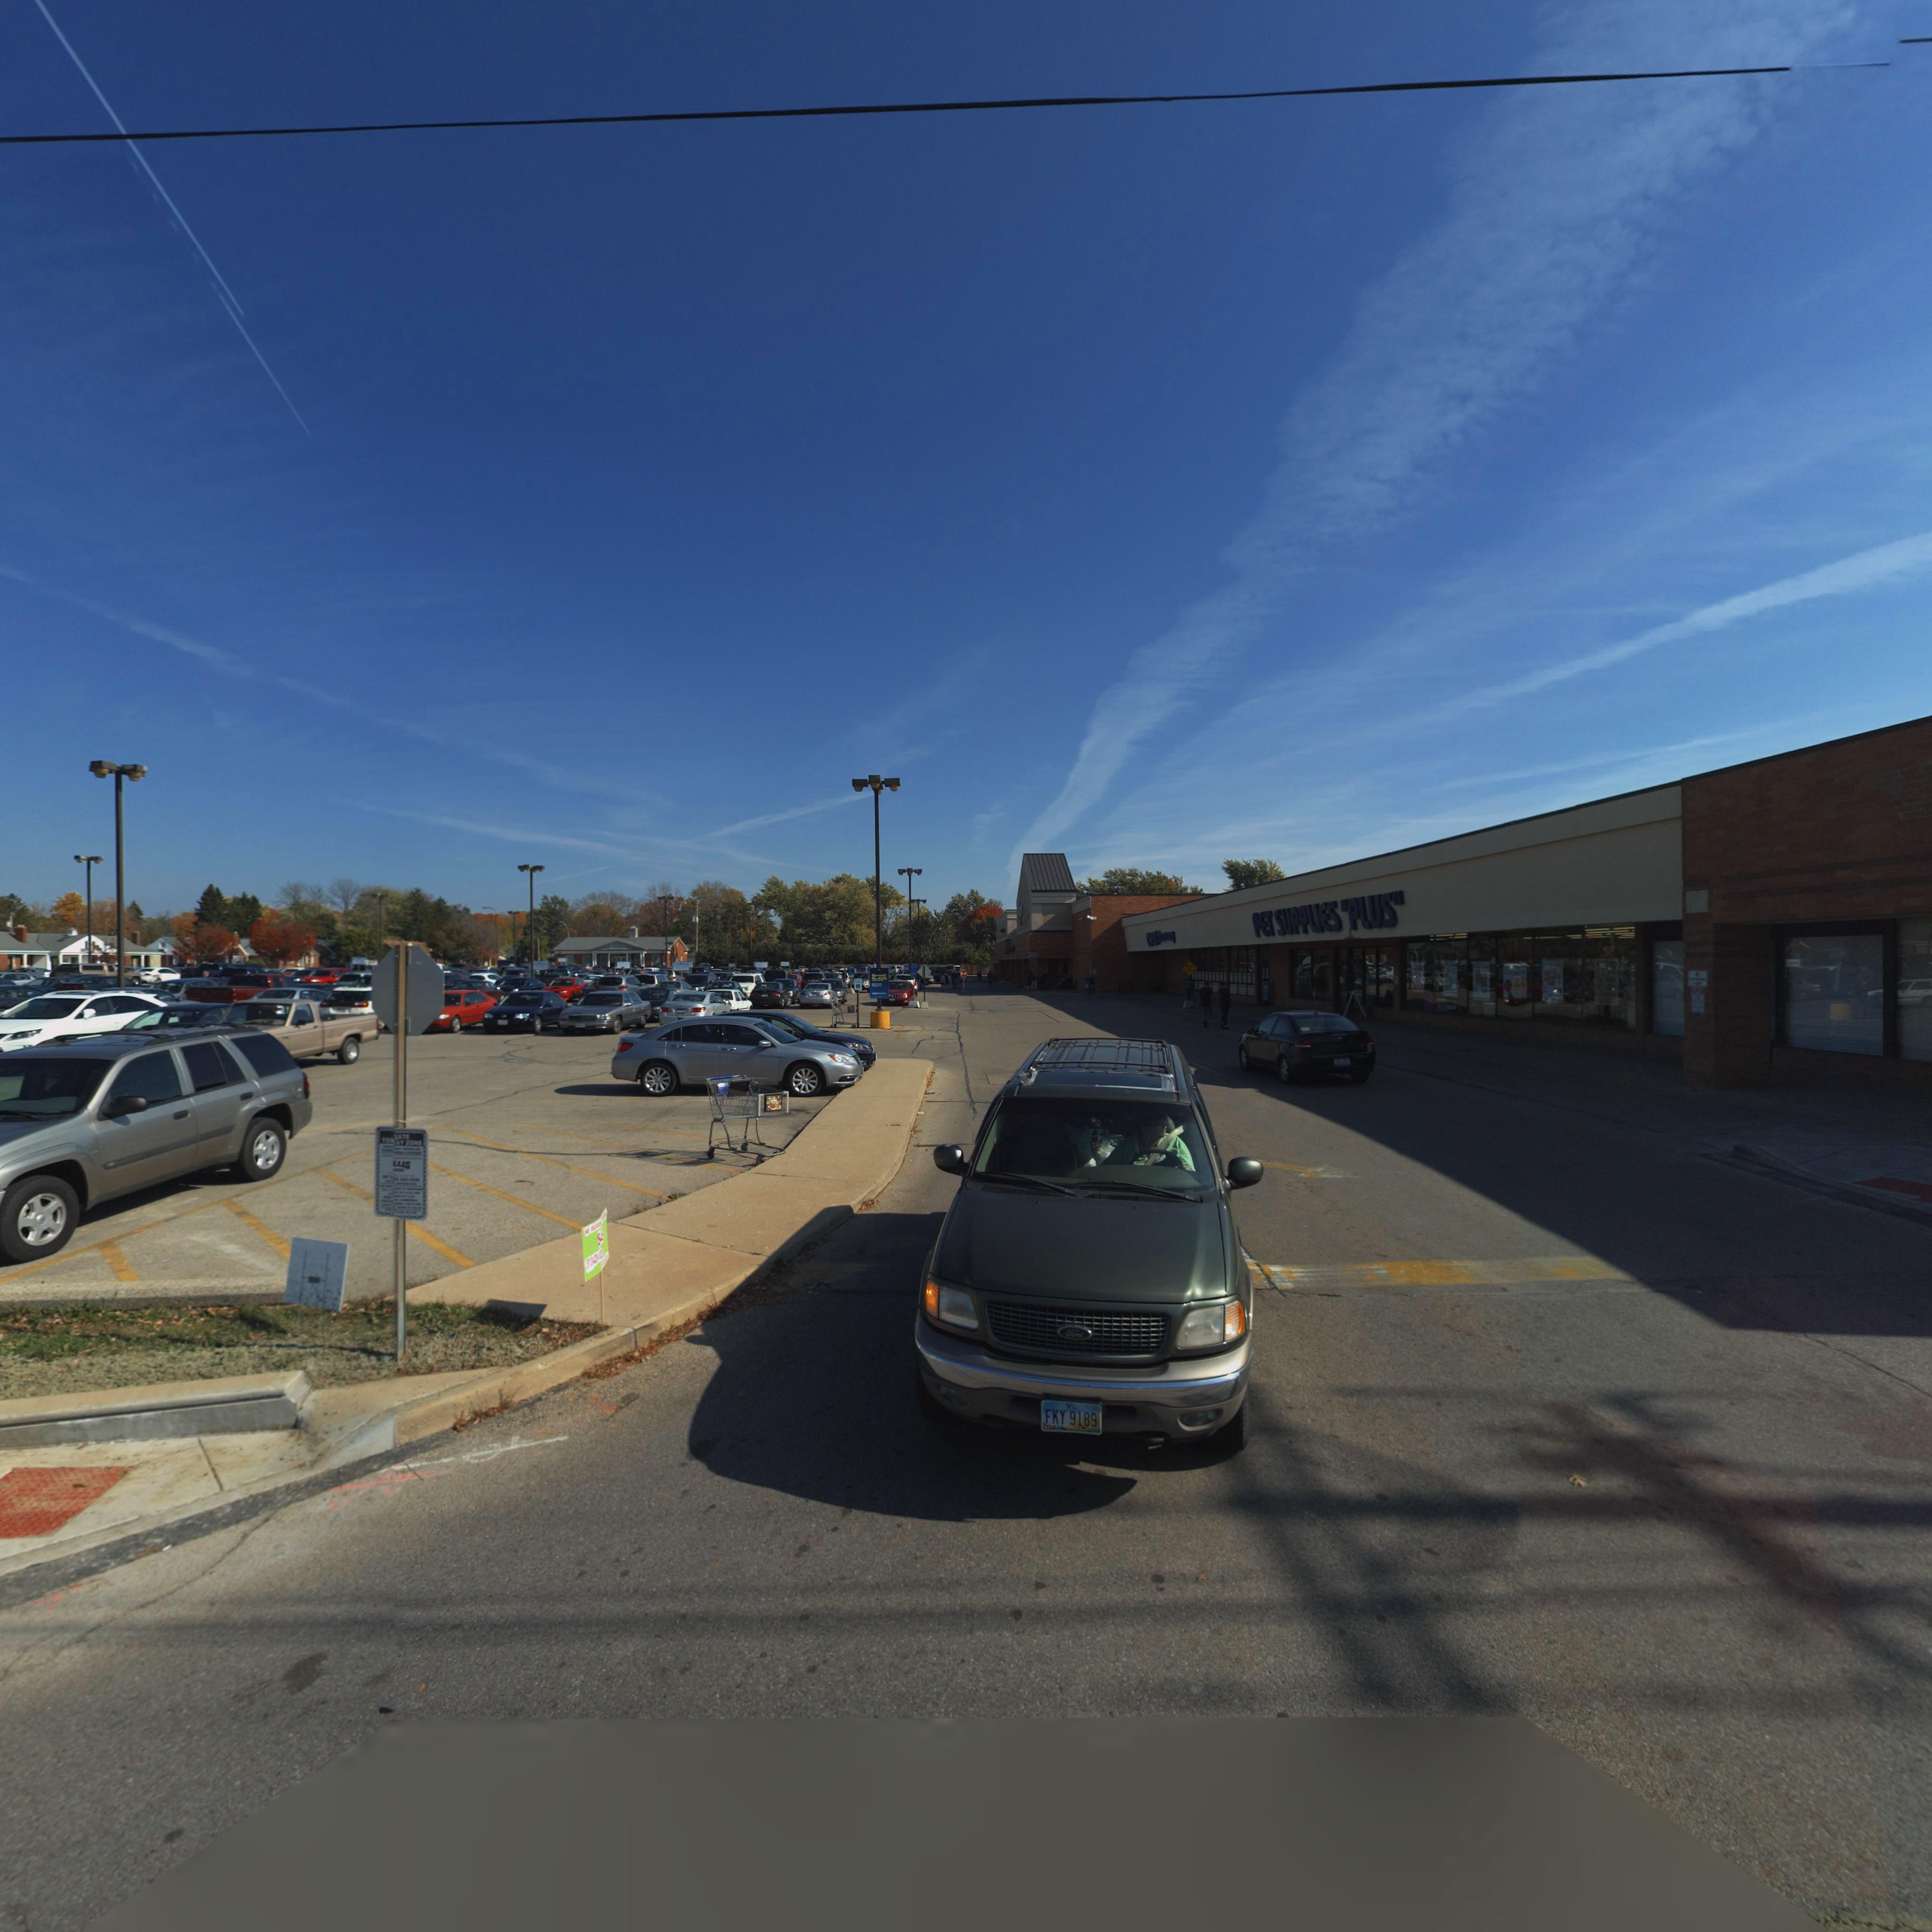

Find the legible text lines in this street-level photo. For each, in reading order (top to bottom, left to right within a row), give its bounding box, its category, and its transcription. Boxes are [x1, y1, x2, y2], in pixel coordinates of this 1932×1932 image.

[1251, 890, 1401, 938] BusinessName: PET SUPPLIES "PLUS"
[1146, 932, 1157, 947] BusinessName: CVS
[397, 1133, 410, 1140] None: ATE
[395, 1140, 423, 1146] None: AY ZONE
[393, 1160, 412, 1170] None: LLIS
[1065, 1328, 1084, 1338] None: Ford
[1044, 1408, 1097, 1428] None: FKY*9189